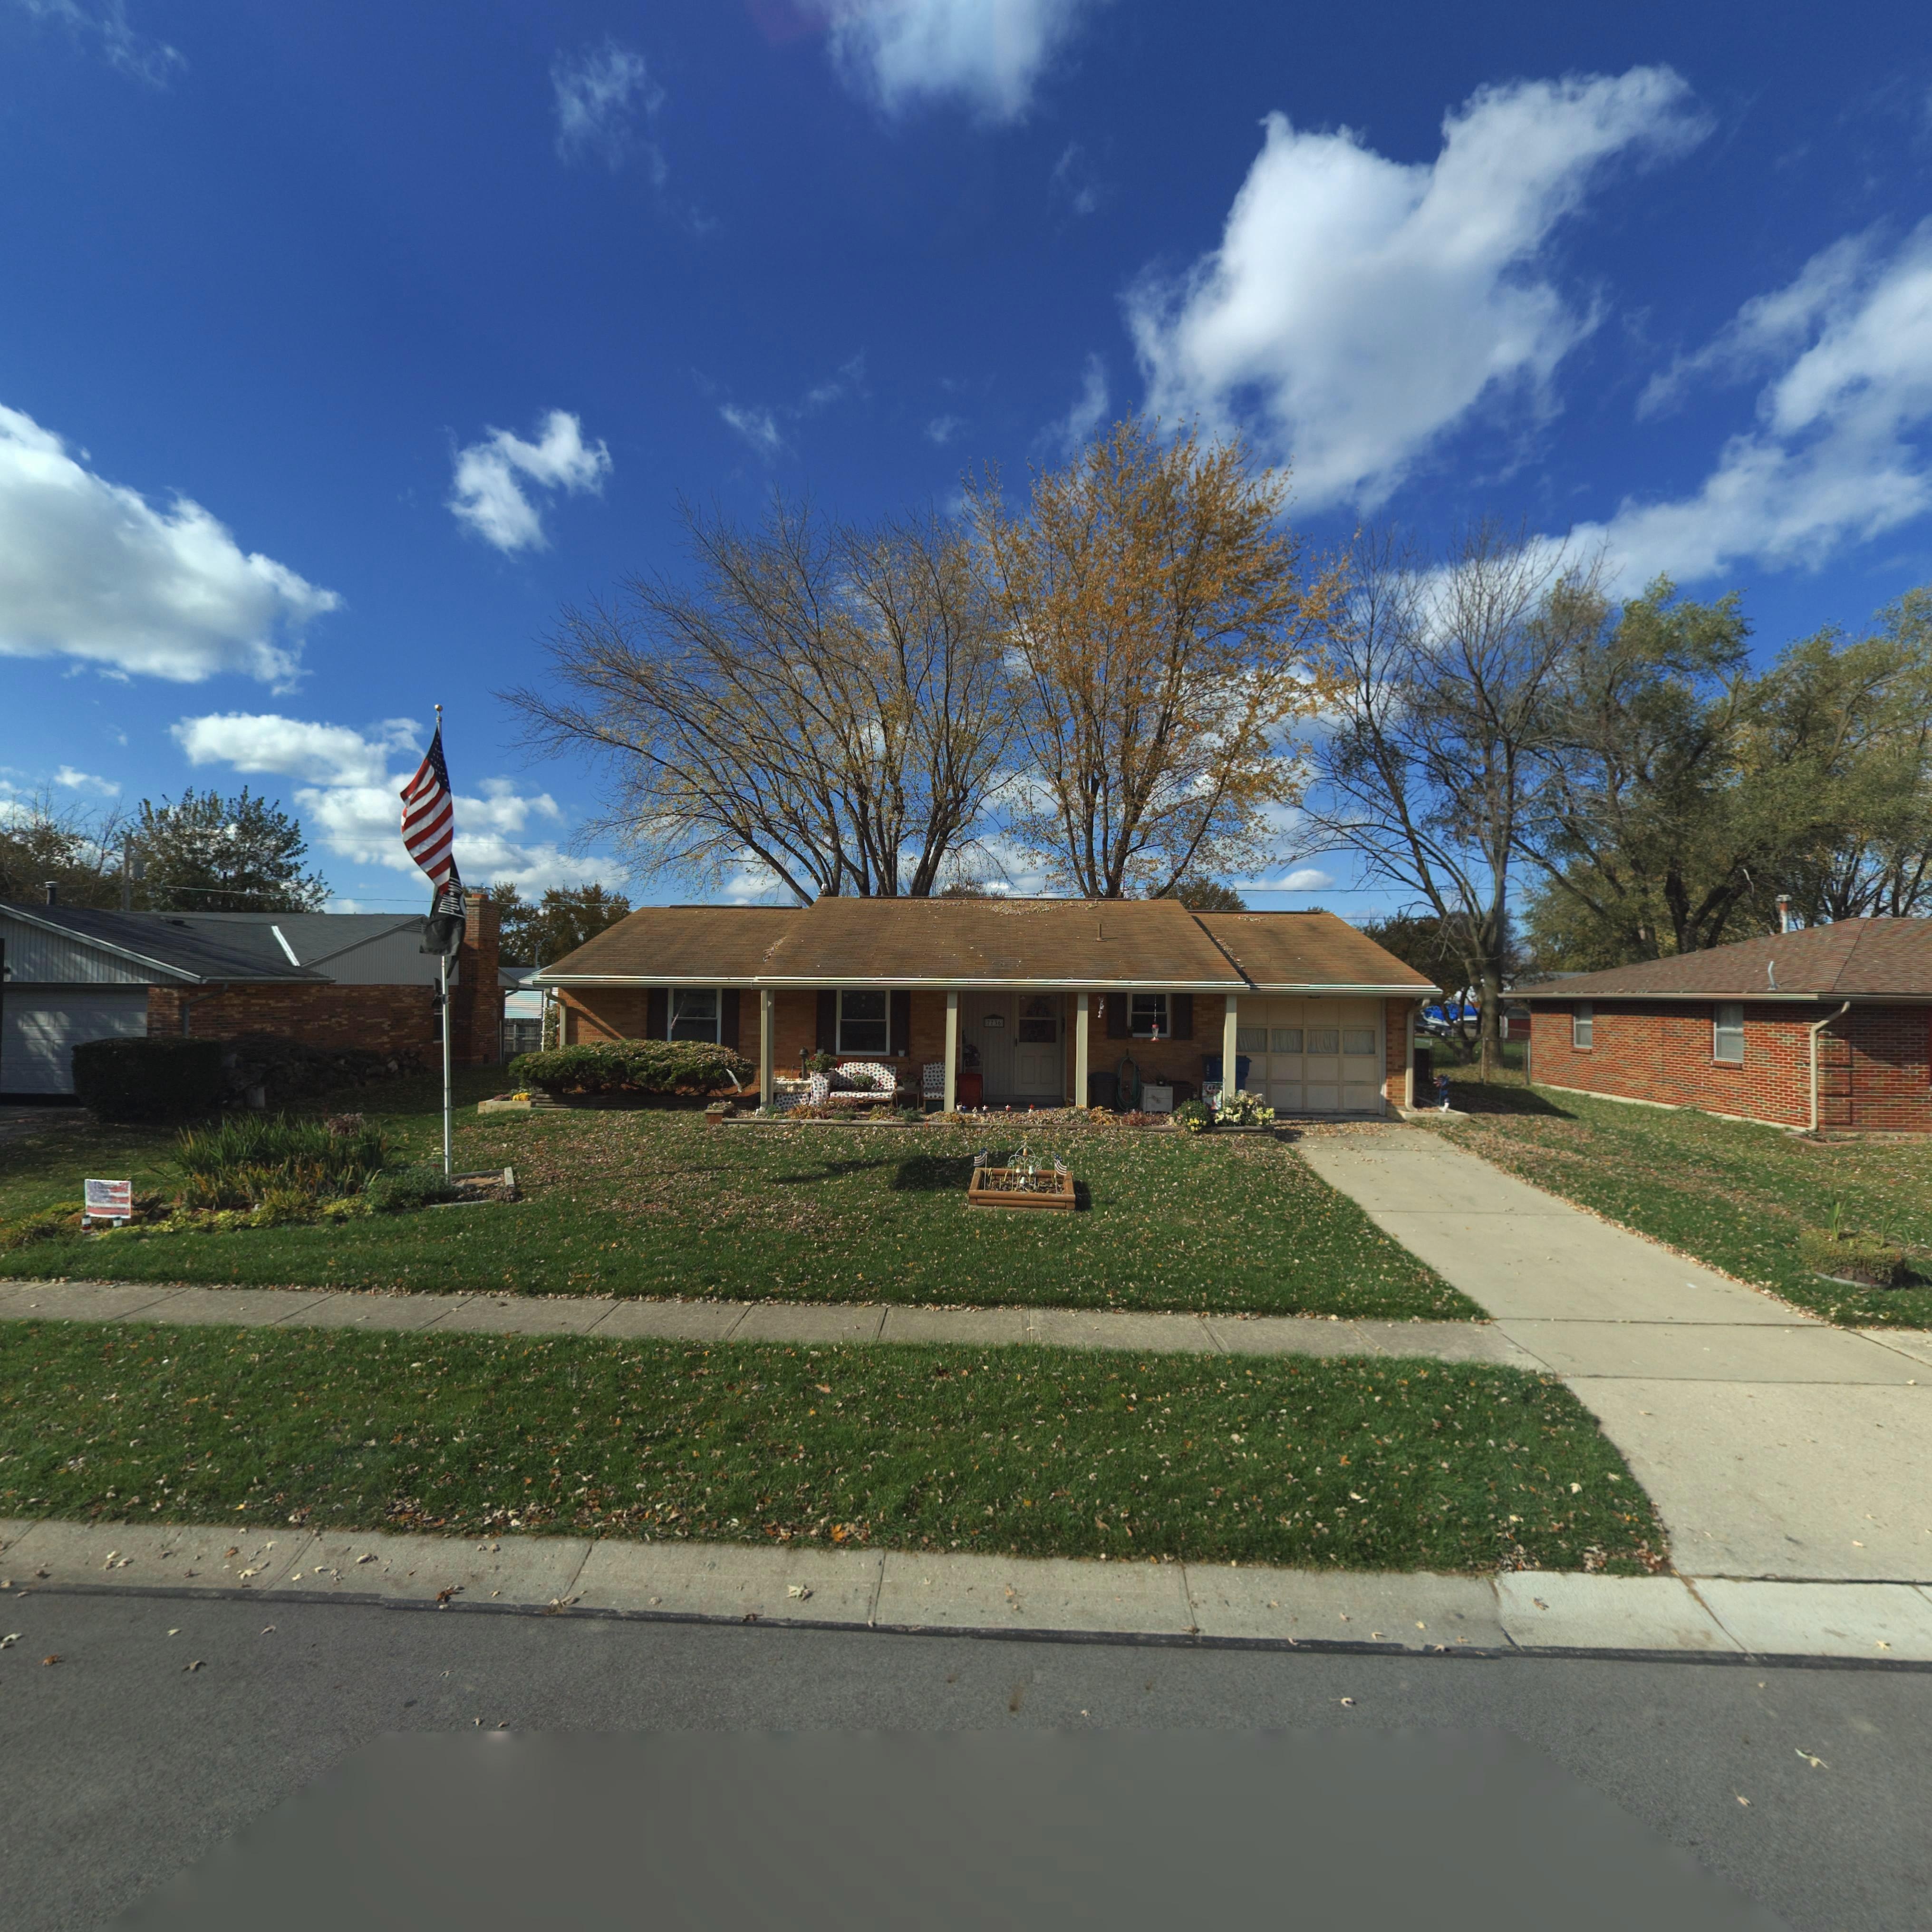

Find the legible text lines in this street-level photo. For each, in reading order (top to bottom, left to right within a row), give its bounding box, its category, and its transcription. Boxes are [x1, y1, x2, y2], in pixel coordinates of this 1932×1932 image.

[986, 1019, 1002, 1026] StreetNumber: 7736